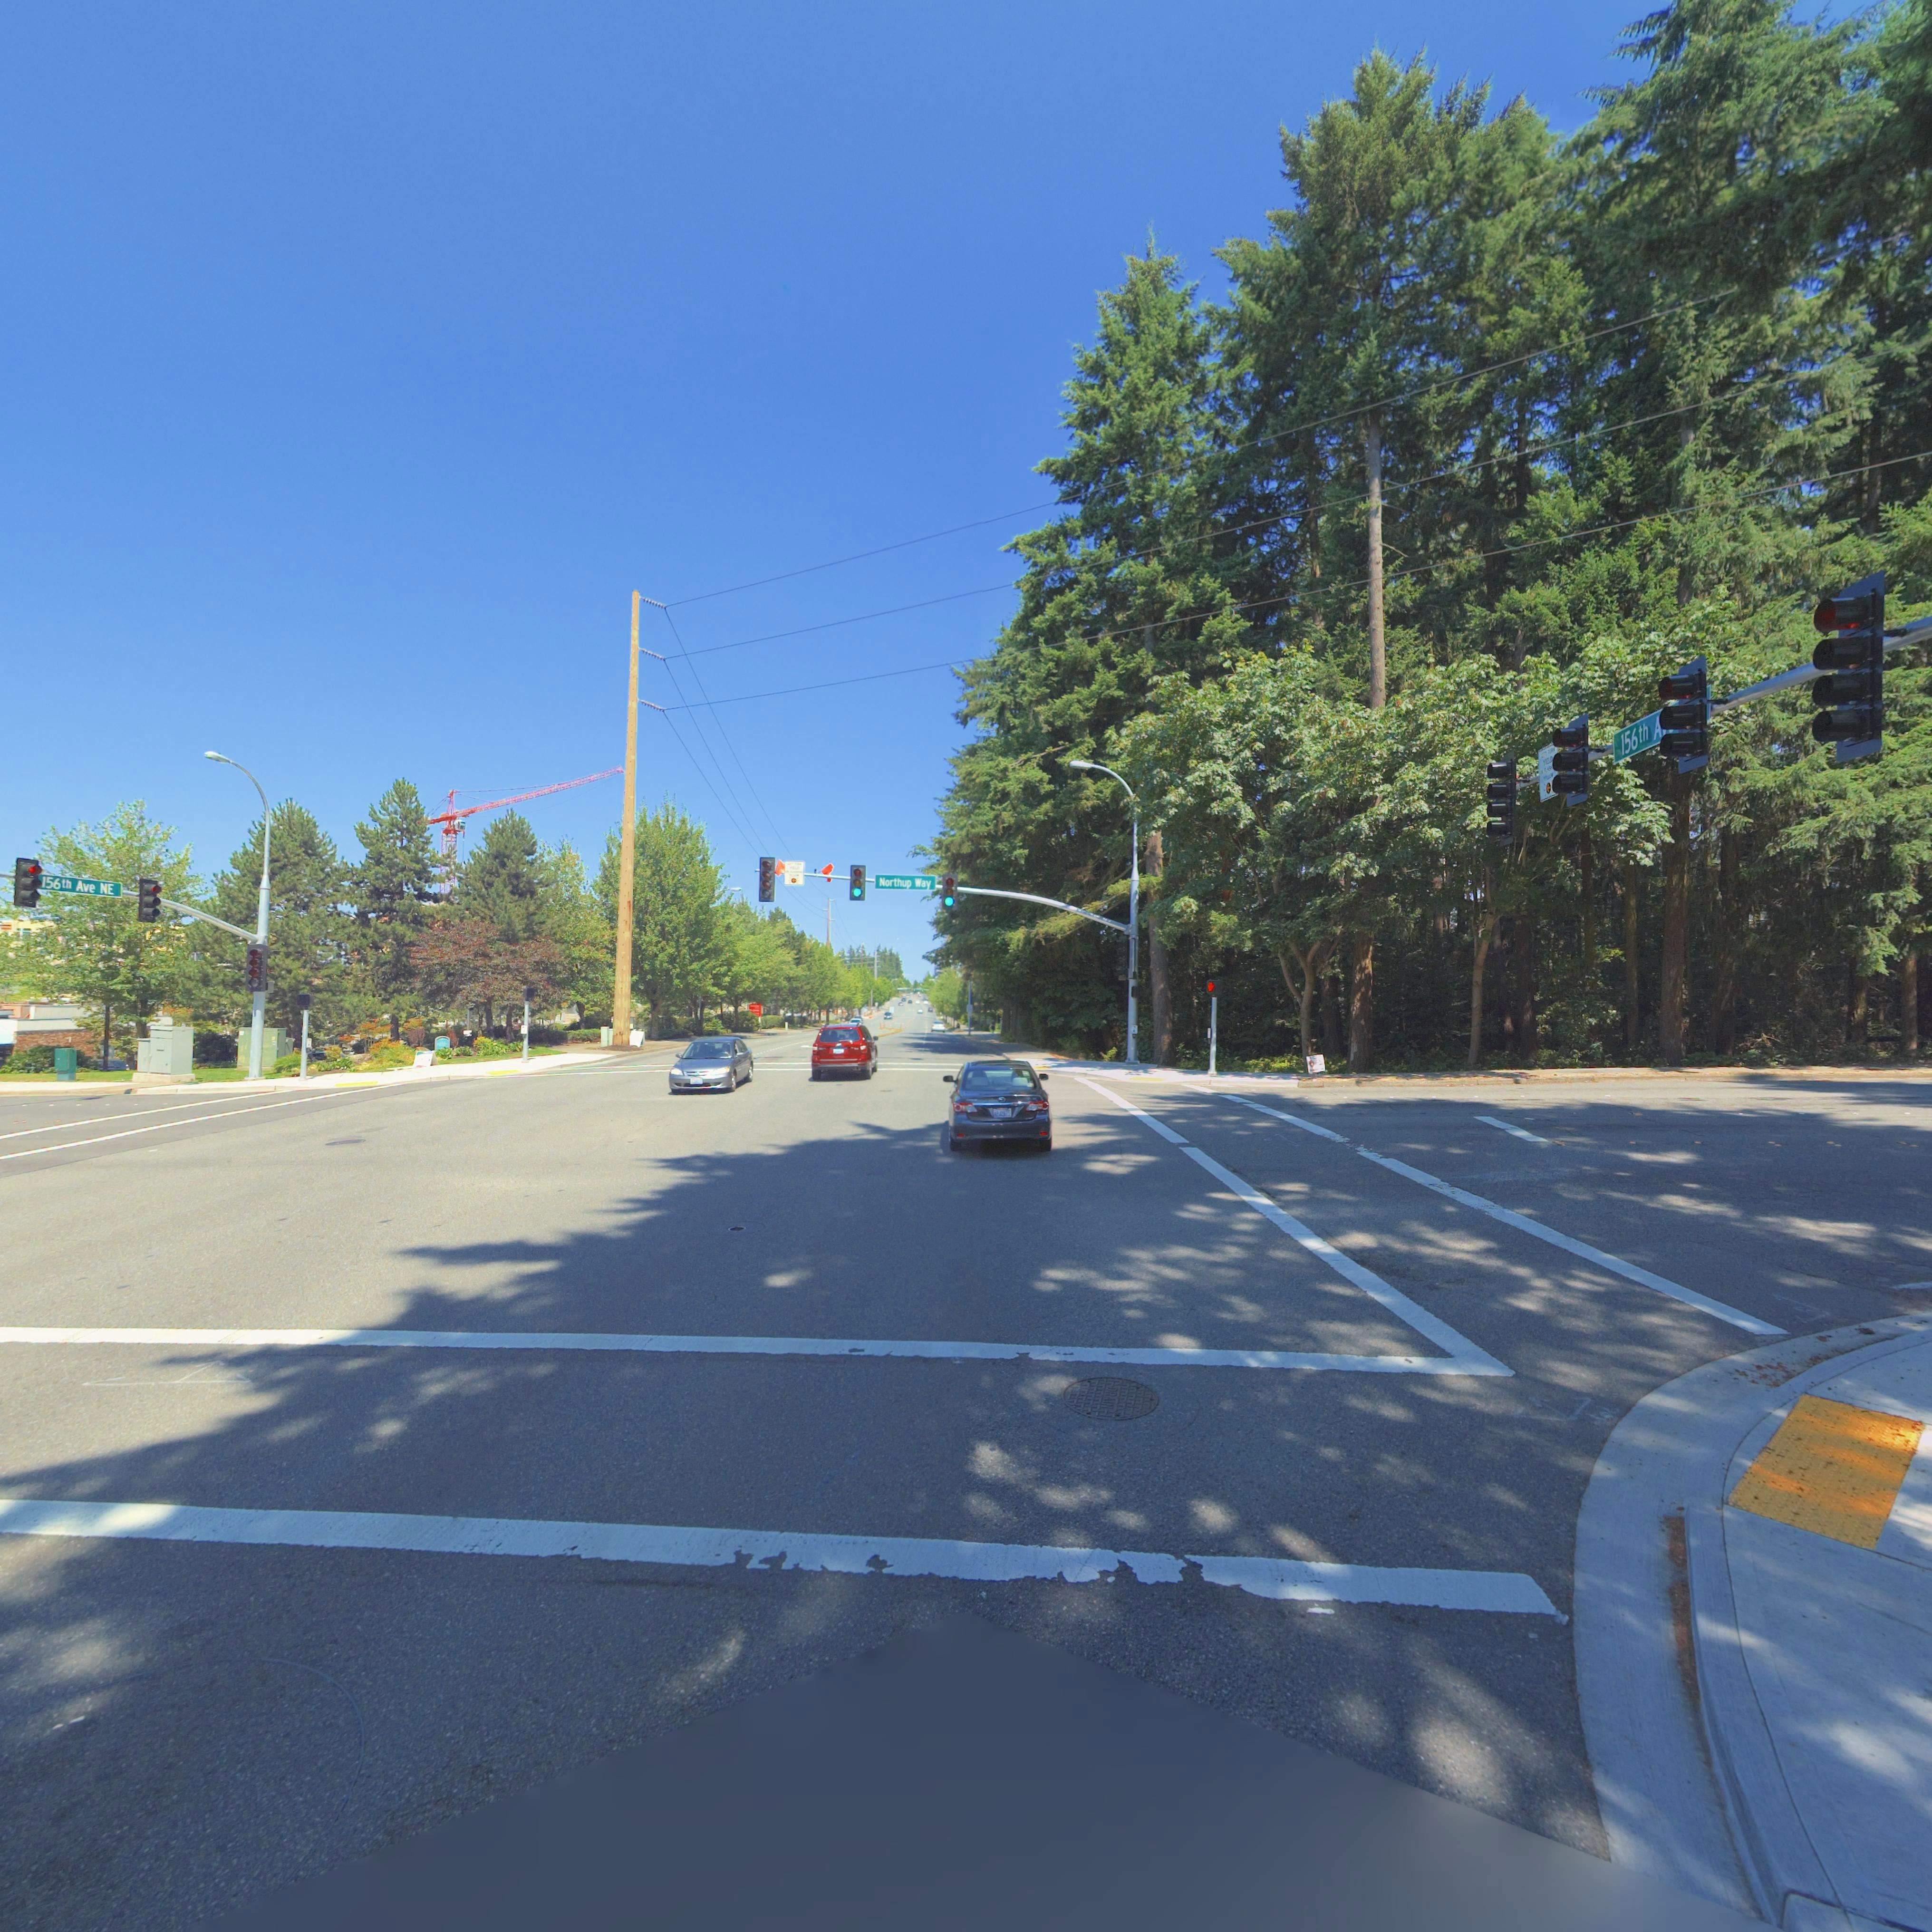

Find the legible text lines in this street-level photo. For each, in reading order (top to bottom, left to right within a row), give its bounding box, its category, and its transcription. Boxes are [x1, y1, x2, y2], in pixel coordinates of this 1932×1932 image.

[41, 876, 114, 894] StreetName: 156th Ave NE
[879, 877, 931, 889] StreetName: Northup Way